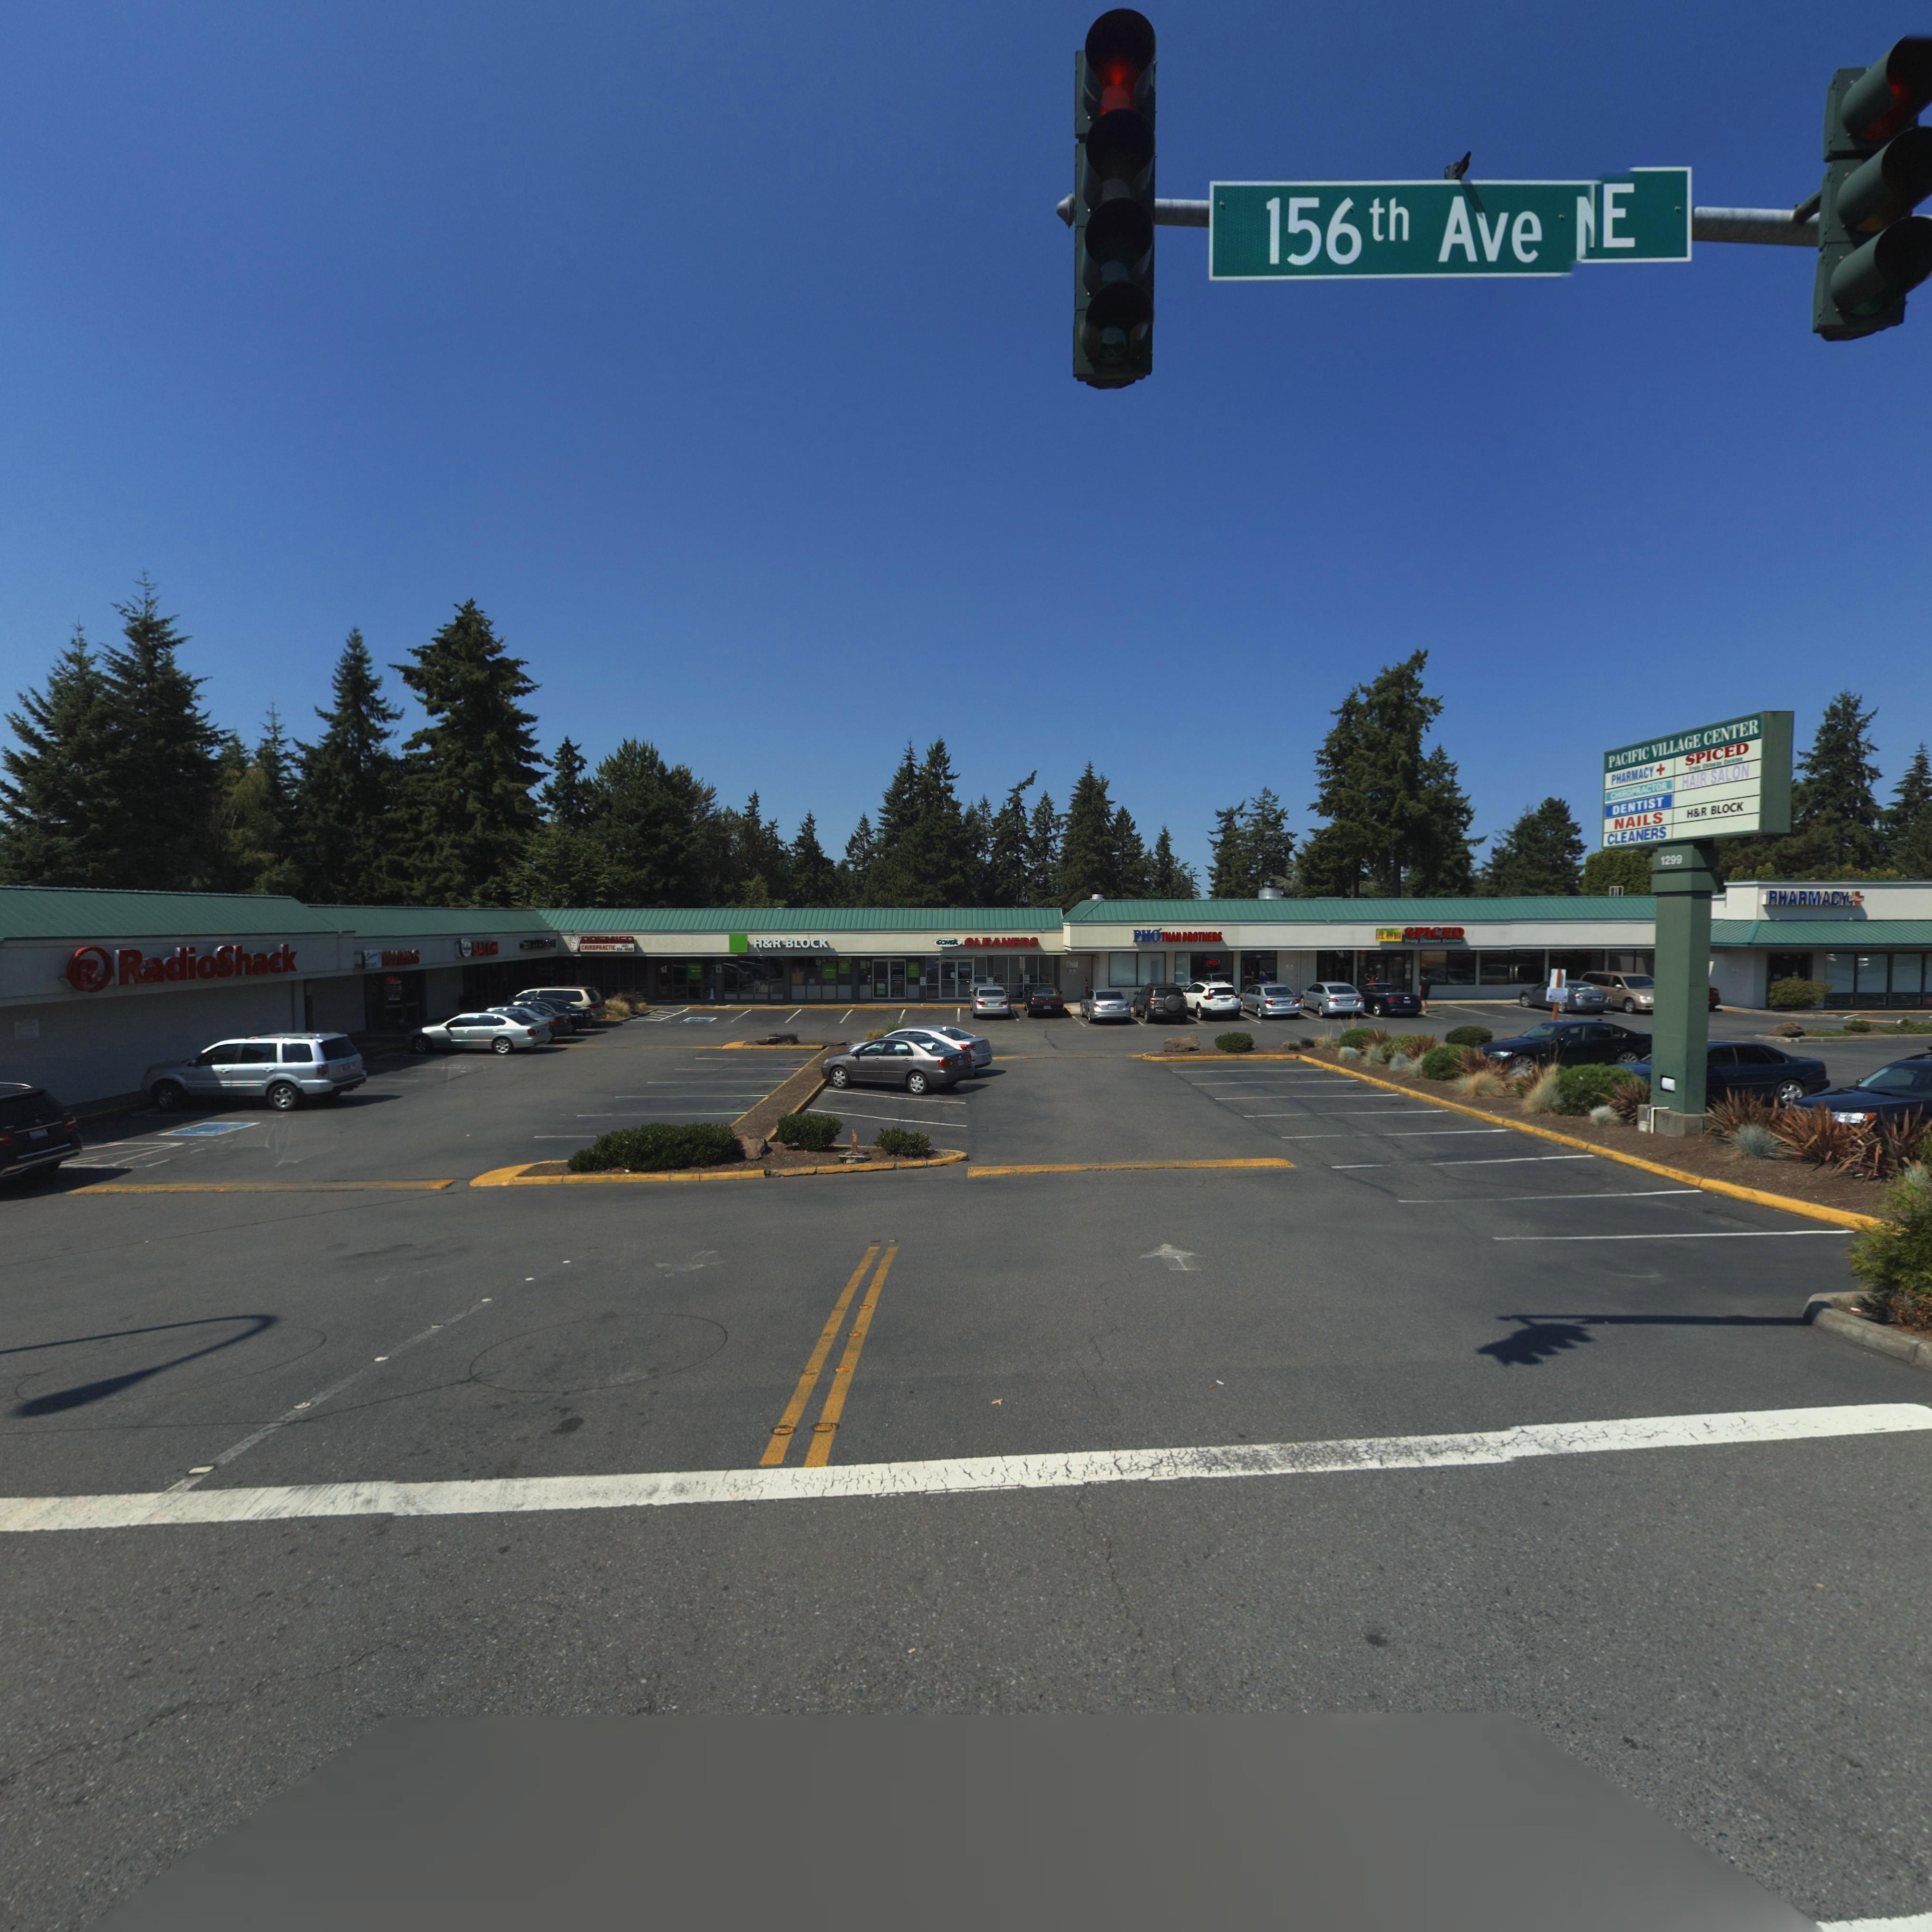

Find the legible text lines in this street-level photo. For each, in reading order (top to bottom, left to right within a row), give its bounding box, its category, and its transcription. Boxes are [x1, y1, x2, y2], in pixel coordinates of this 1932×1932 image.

[1235, 177, 1655, 273] StreetName: 156th Ave *E
[1608, 720, 1760, 768] SecondaryUnitDesignator: PACIFIC VILLAGE CENTER
[1685, 743, 1749, 765] None: SPICED
[1611, 765, 1653, 785] None: PHARMACY
[1682, 763, 1749, 788] None: HAIR SALON
[1610, 781, 1666, 799] BusinessName: CHIROPRACTOR
[1612, 797, 1664, 815] None: DENTIST
[1687, 801, 1744, 818] BusinessName: H*R BLOCK
[1614, 811, 1662, 829] BusinessName: NAILS
[1607, 826, 1667, 844] BusinessName: CLEANERS
[1767, 890, 1848, 906] None: PHARMACY
[113, 944, 298, 985] None: RadioShack
[366, 952, 370, 961] BusinessName: S
[382, 949, 420, 966] BusinessName: NAILS
[472, 941, 498, 956] BusinessName: SALON
[581, 945, 615, 950] BusinessName: CHIROPRACTIC
[581, 936, 634, 943] BusinessName: PREMIER
[753, 938, 828, 947] BusinessName: H*R BLOCK
[936, 937, 1039, 947] BusinessName: comet CLEANERS
[1133, 927, 1222, 942] None: PHO THAN BROTHERS
[1404, 927, 1464, 938] None: SPICED